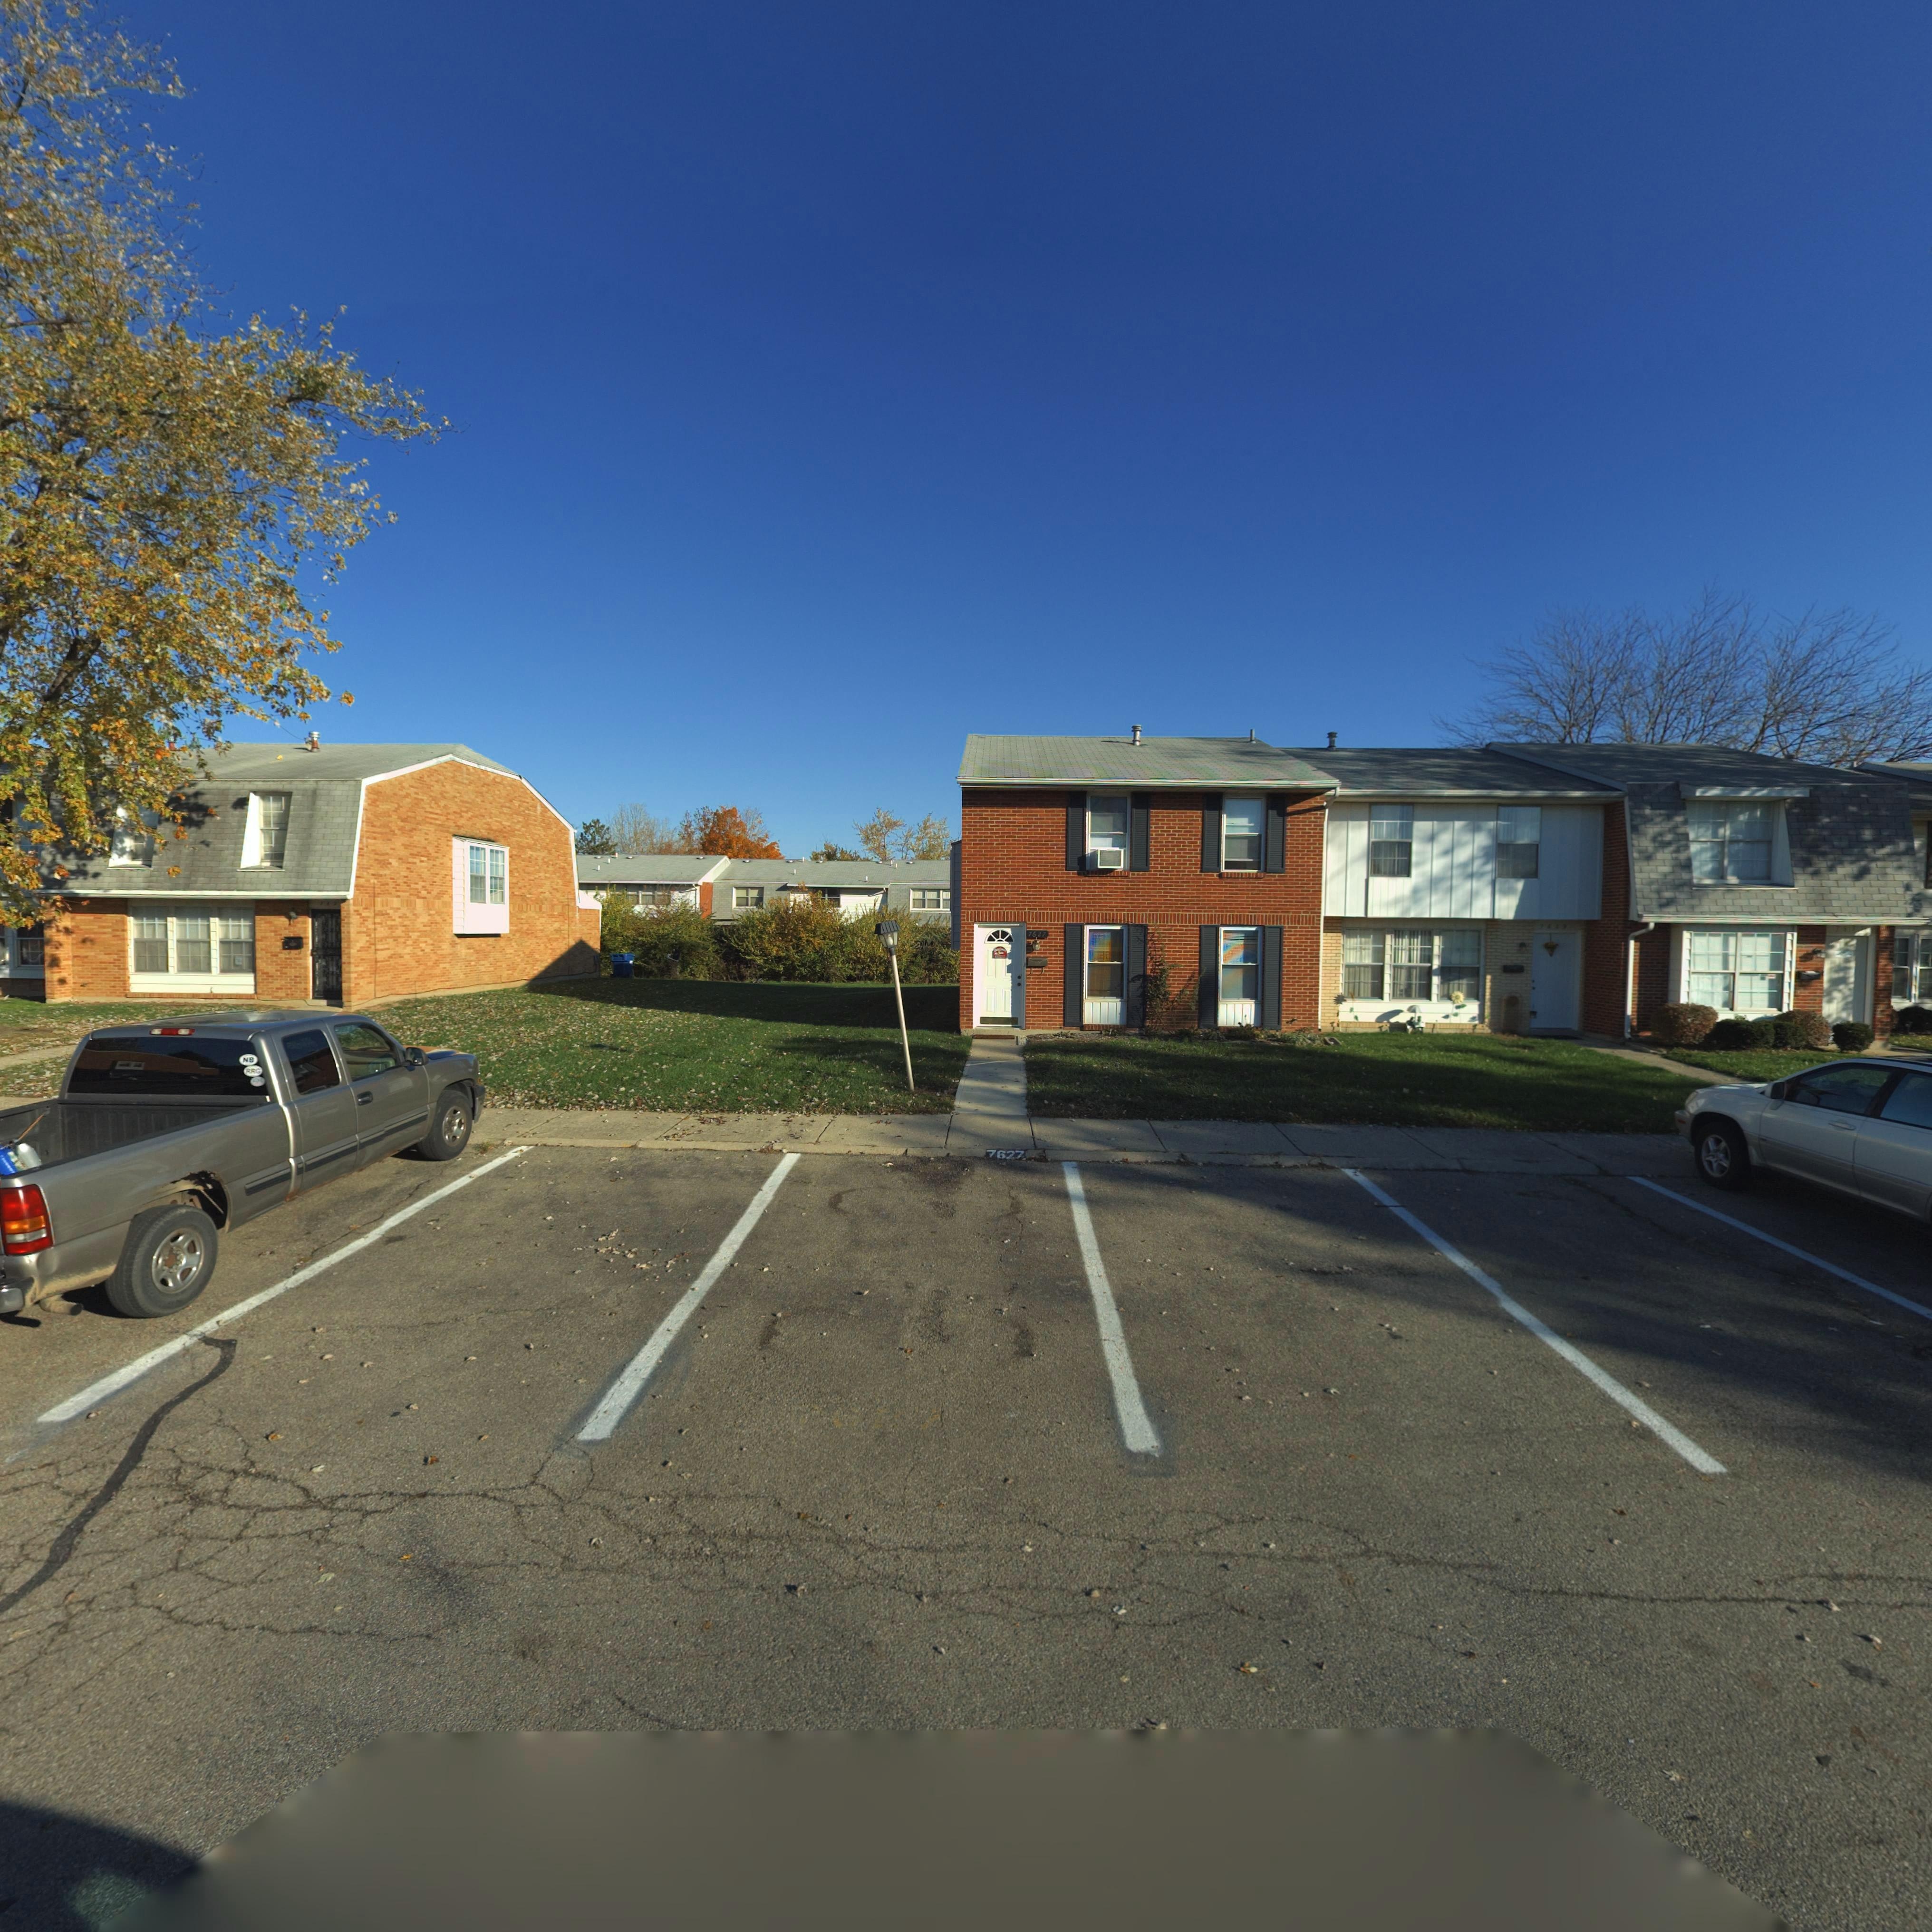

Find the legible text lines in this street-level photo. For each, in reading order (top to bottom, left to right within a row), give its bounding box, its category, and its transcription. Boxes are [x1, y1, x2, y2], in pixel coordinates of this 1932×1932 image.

[319, 900, 337, 906] StreetNumber: 762
[1539, 923, 1567, 930] StreetNumber: 7629
[1834, 925, 1856, 933] StreetNumber: 753
[1027, 931, 1047, 937] StreetNumber: 7627
[985, 1149, 1025, 1160] StreetNumber: 7627